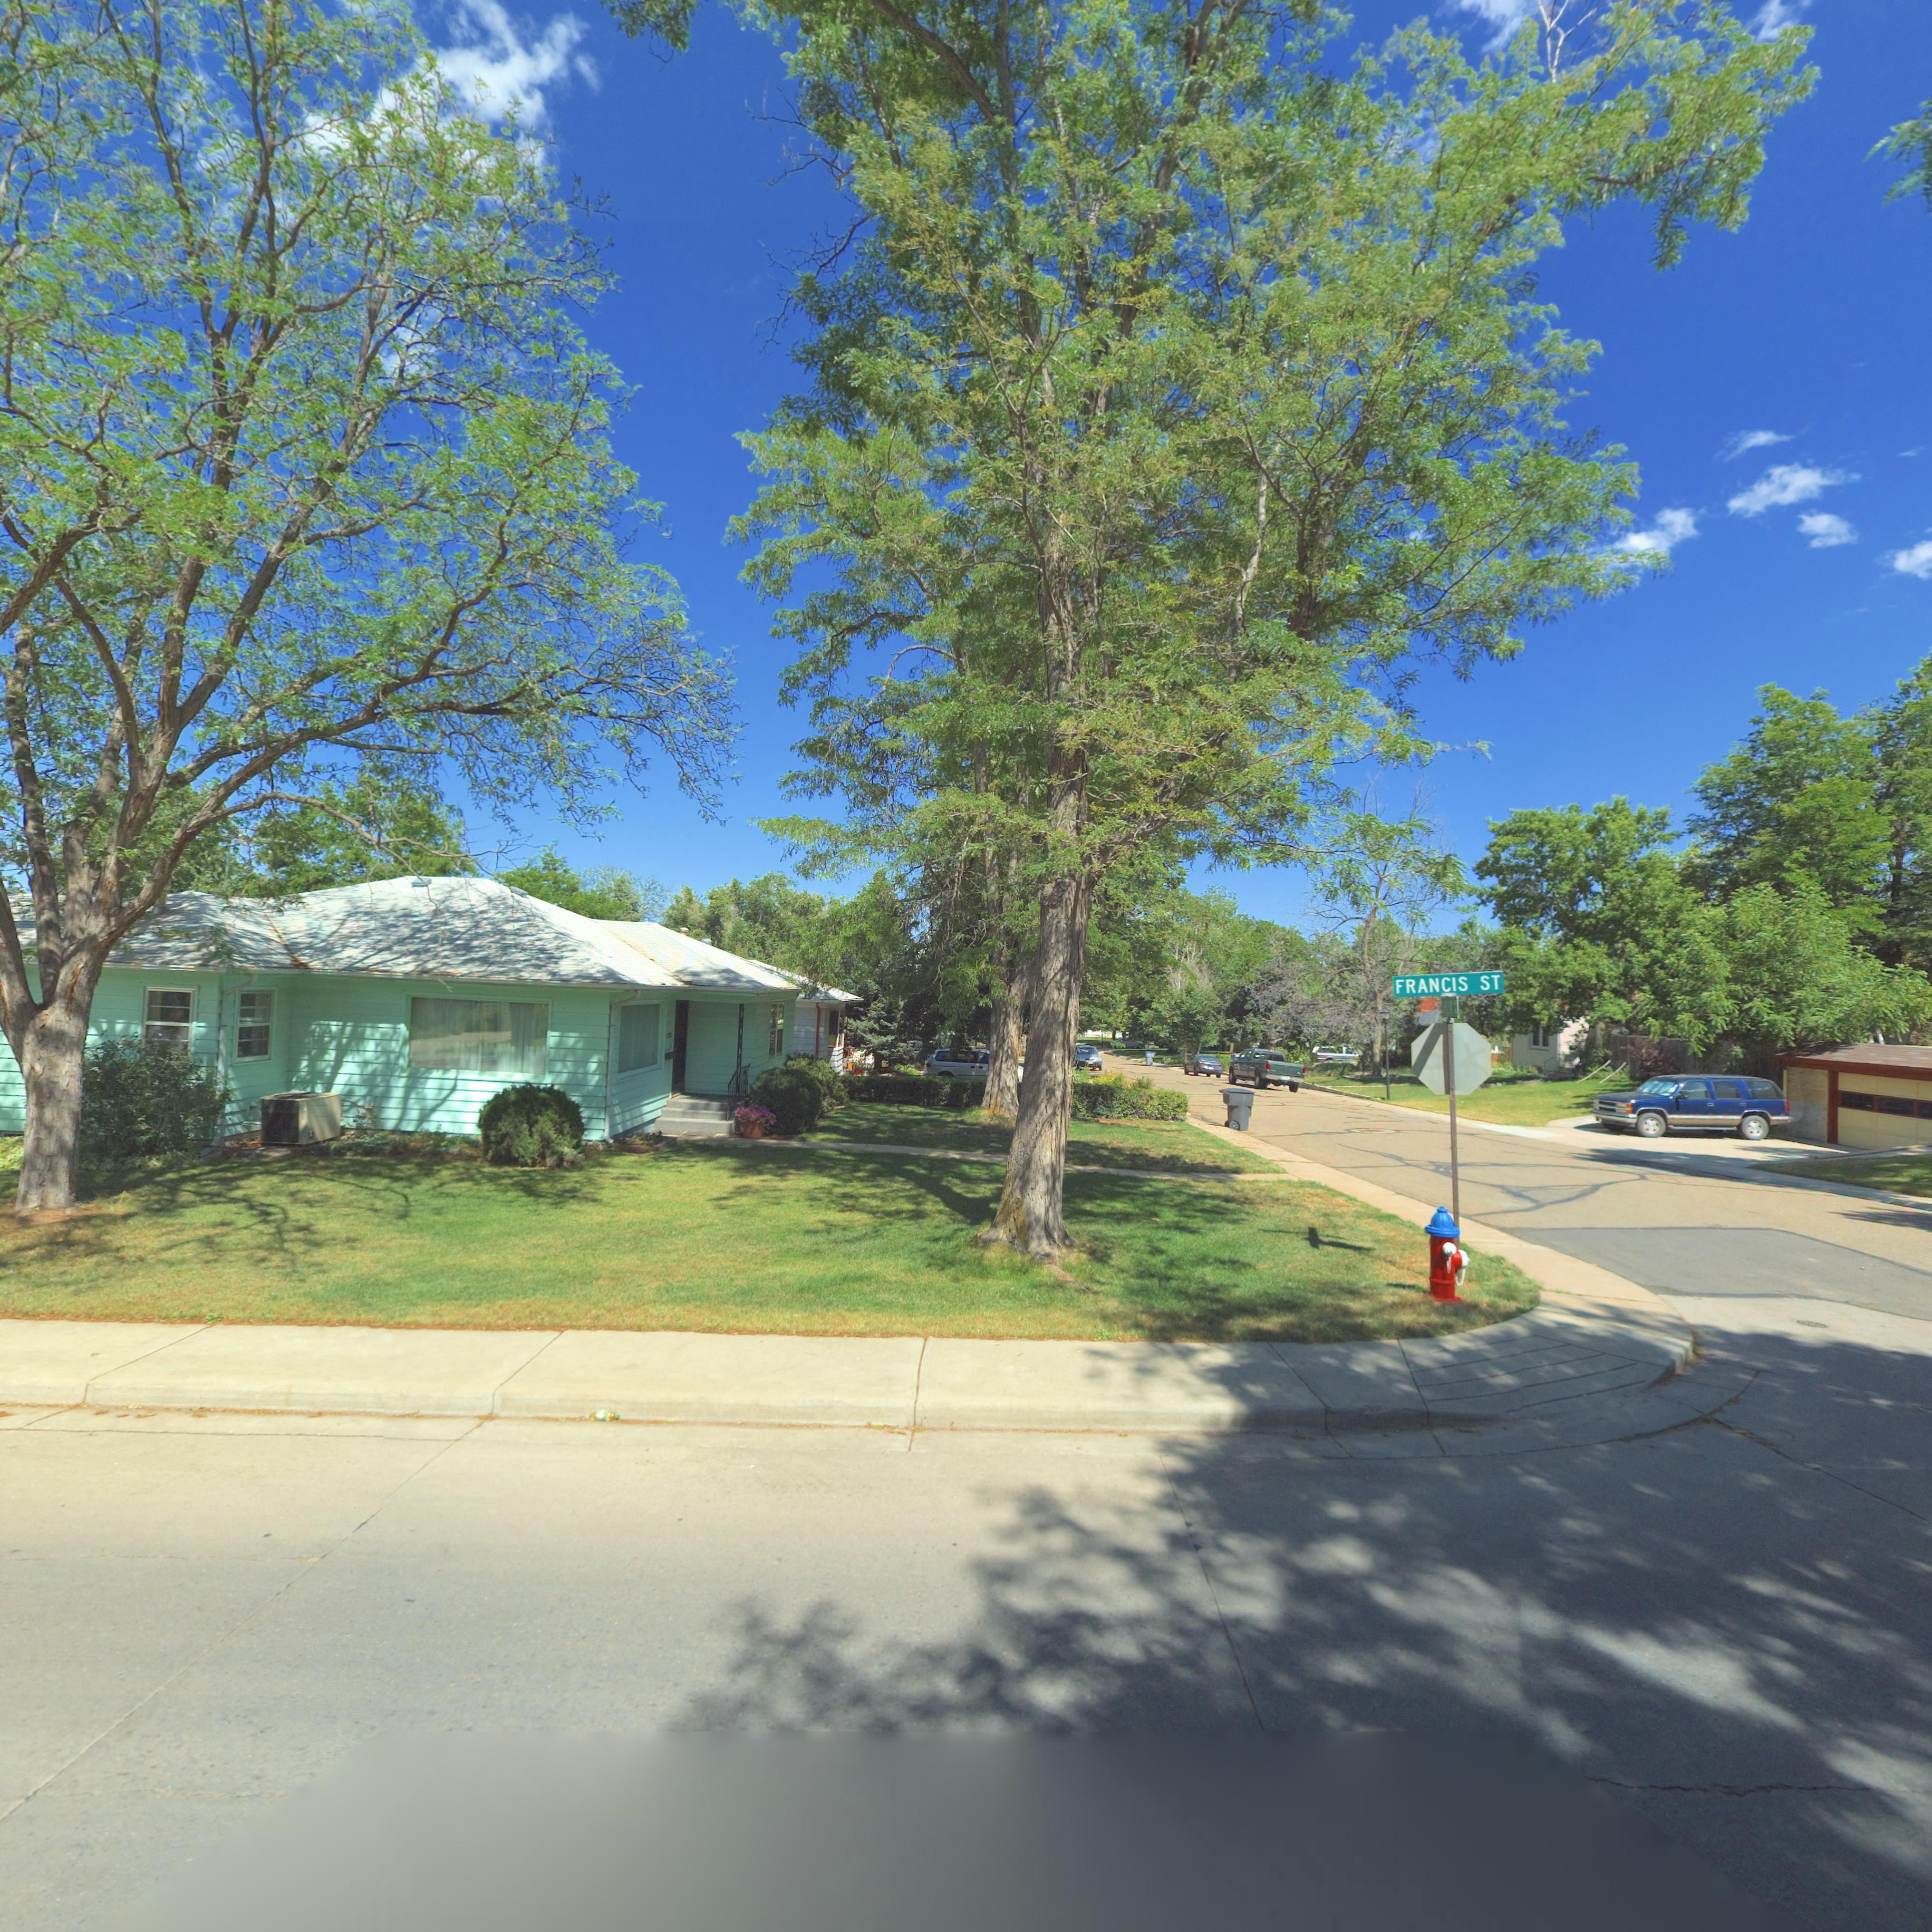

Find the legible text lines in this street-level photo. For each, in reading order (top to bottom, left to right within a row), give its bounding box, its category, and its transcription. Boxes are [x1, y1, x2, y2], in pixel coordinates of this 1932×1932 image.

[1395, 975, 1501, 994] StreetName: FRANCIS ST